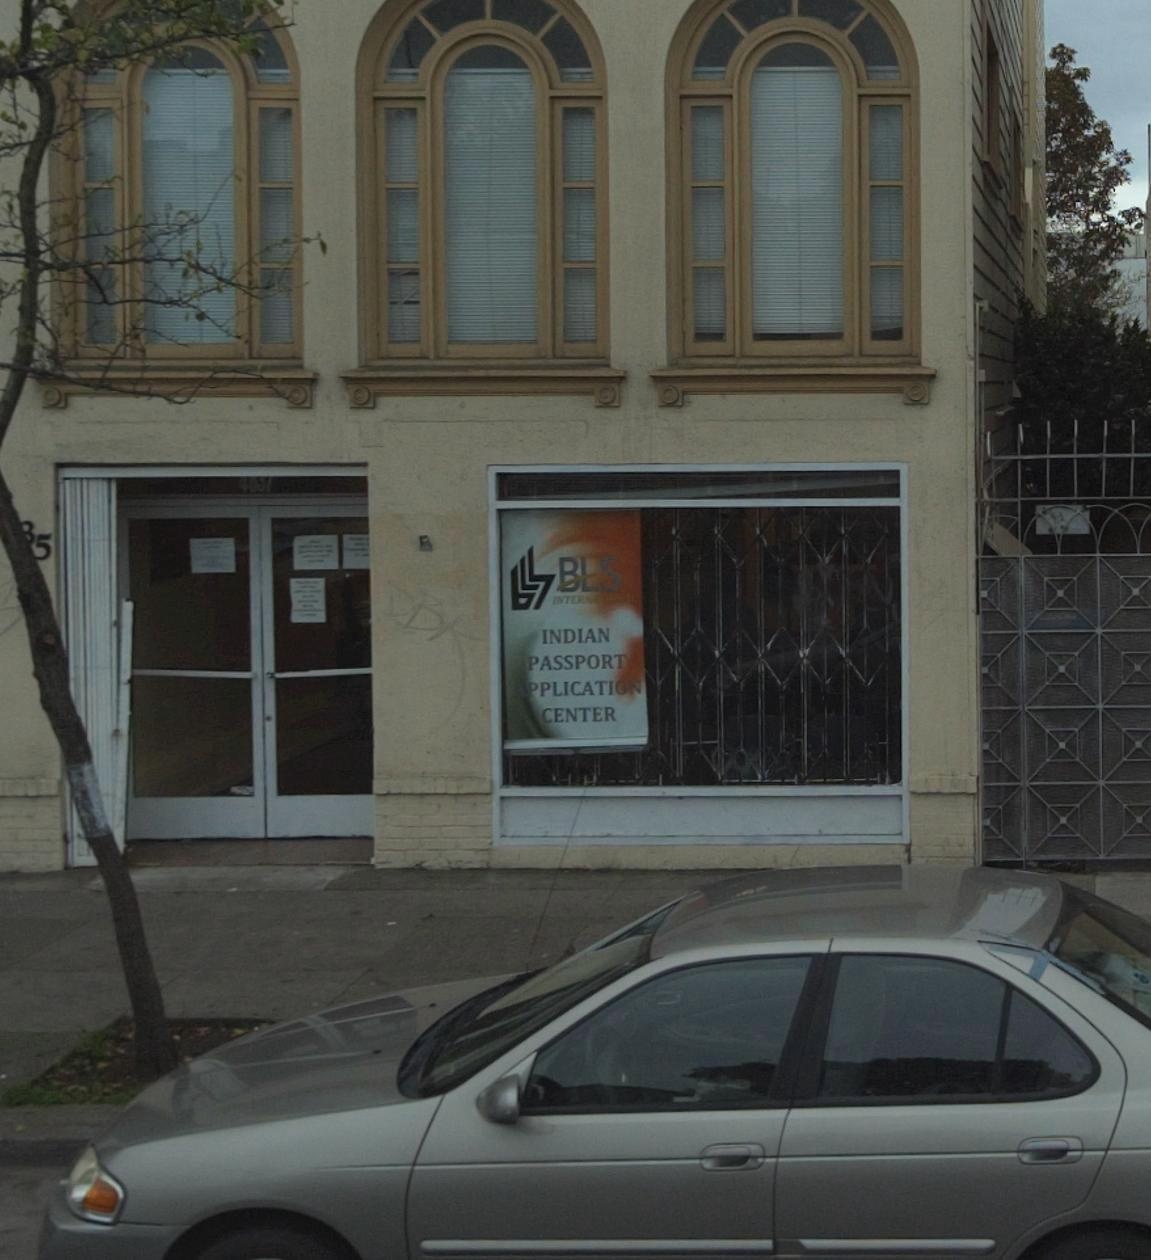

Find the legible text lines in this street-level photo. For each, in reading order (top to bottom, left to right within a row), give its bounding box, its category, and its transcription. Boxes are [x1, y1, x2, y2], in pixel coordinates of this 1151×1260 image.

[27, 531, 55, 565] StreetNumber: 5
[555, 553, 624, 595] BusinessName: BLS
[381, 576, 449, 643] None: DB
[550, 592, 638, 607] BusinessName: INTERNATIONAL
[540, 626, 612, 646] None: INDIAN
[527, 652, 628, 672] None: PASSPORT
[512, 677, 643, 698] None: APPLICATION
[541, 705, 618, 724] None: CENTER